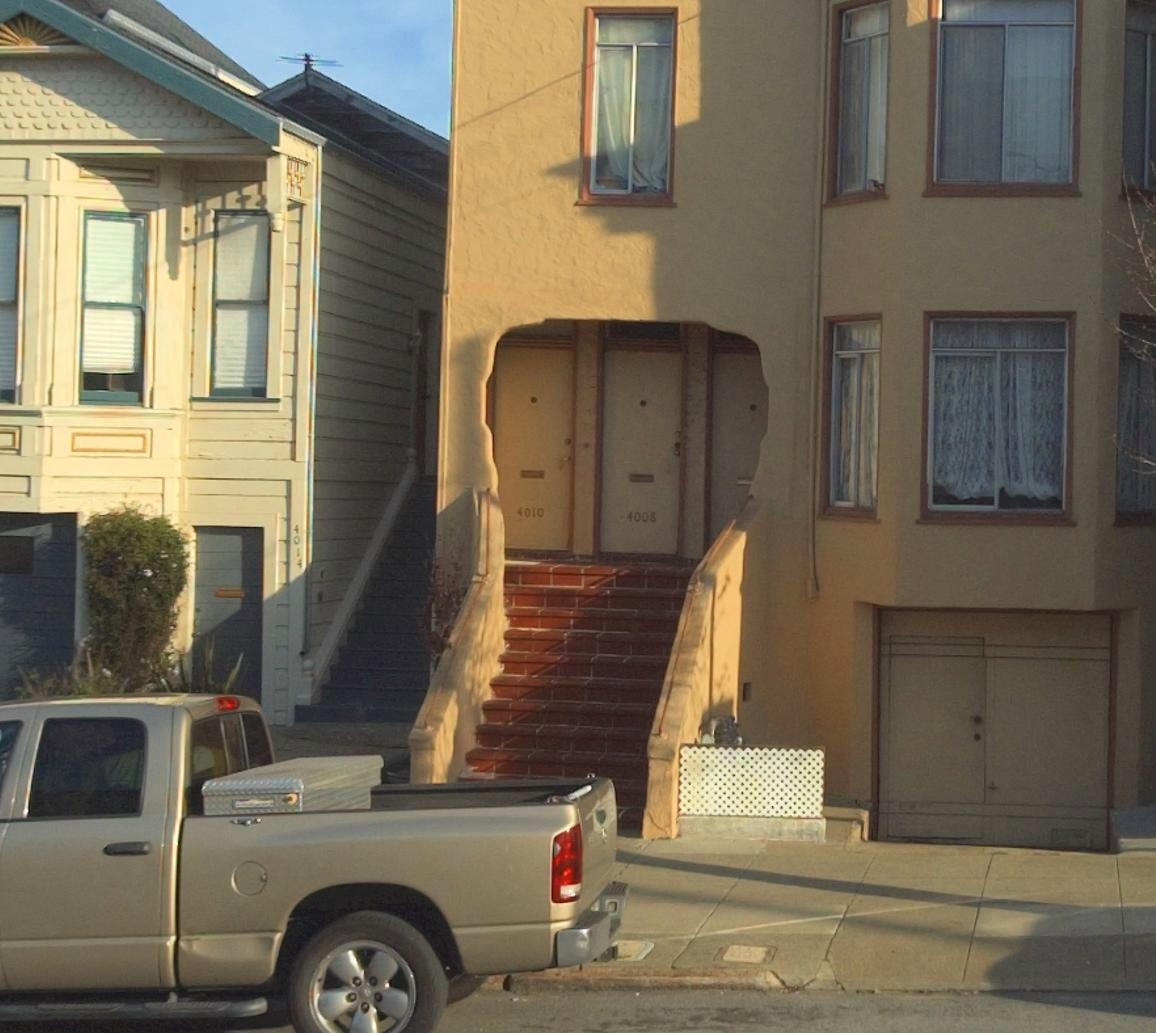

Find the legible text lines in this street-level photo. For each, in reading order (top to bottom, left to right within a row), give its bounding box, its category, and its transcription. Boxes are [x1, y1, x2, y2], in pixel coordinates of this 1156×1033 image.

[514, 505, 546, 520] StreetNumber: 4010
[622, 508, 659, 526] StreetNumber: 4008